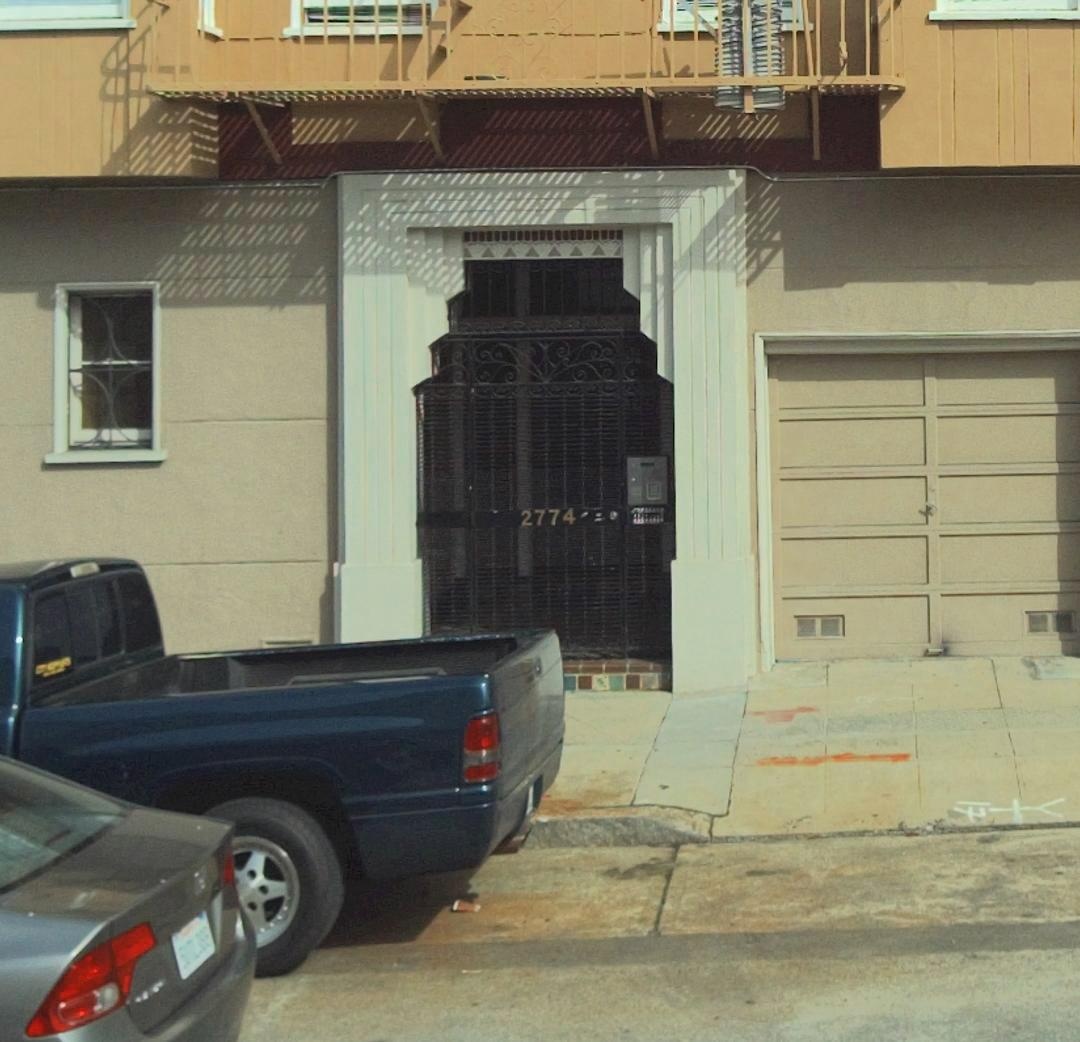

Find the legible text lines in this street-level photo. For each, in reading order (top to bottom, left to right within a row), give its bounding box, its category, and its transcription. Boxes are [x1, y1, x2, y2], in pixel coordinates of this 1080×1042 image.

[518, 505, 578, 528] StreetNumber: 2774